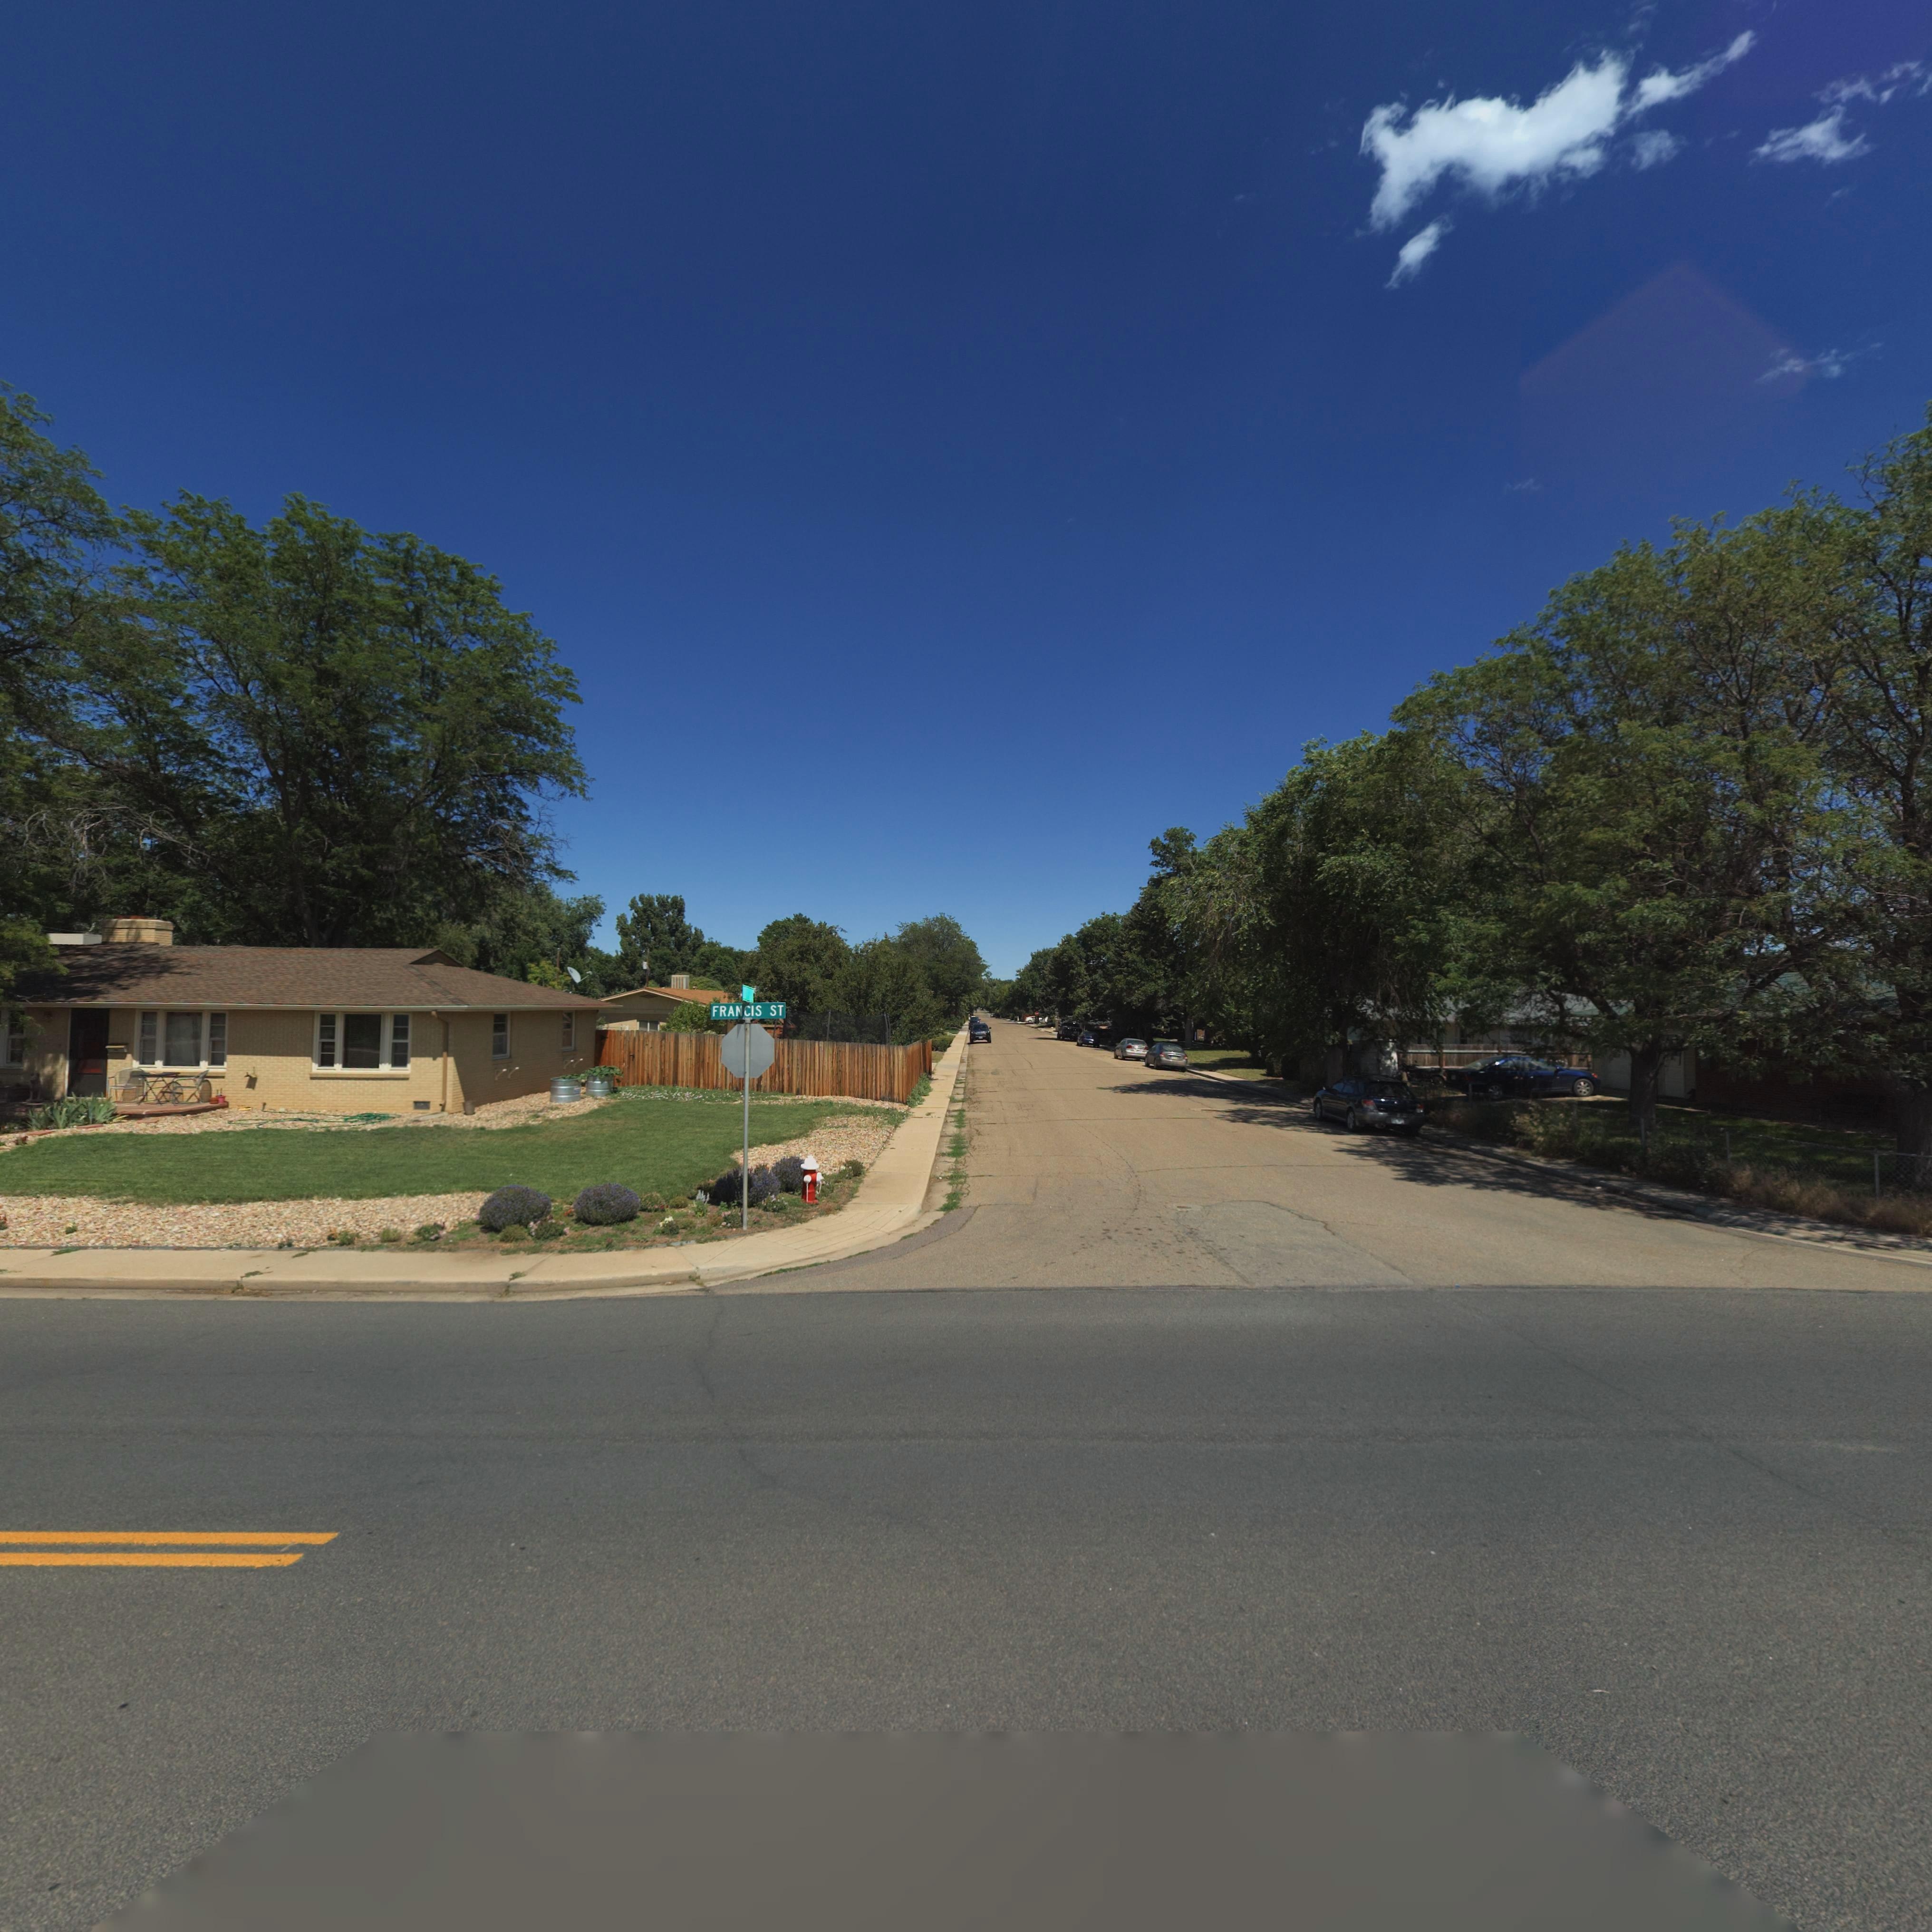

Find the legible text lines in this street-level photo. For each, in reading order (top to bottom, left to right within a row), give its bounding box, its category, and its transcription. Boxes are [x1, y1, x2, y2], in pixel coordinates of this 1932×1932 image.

[712, 1004, 784, 1017] StreetName: FRANCIS ST